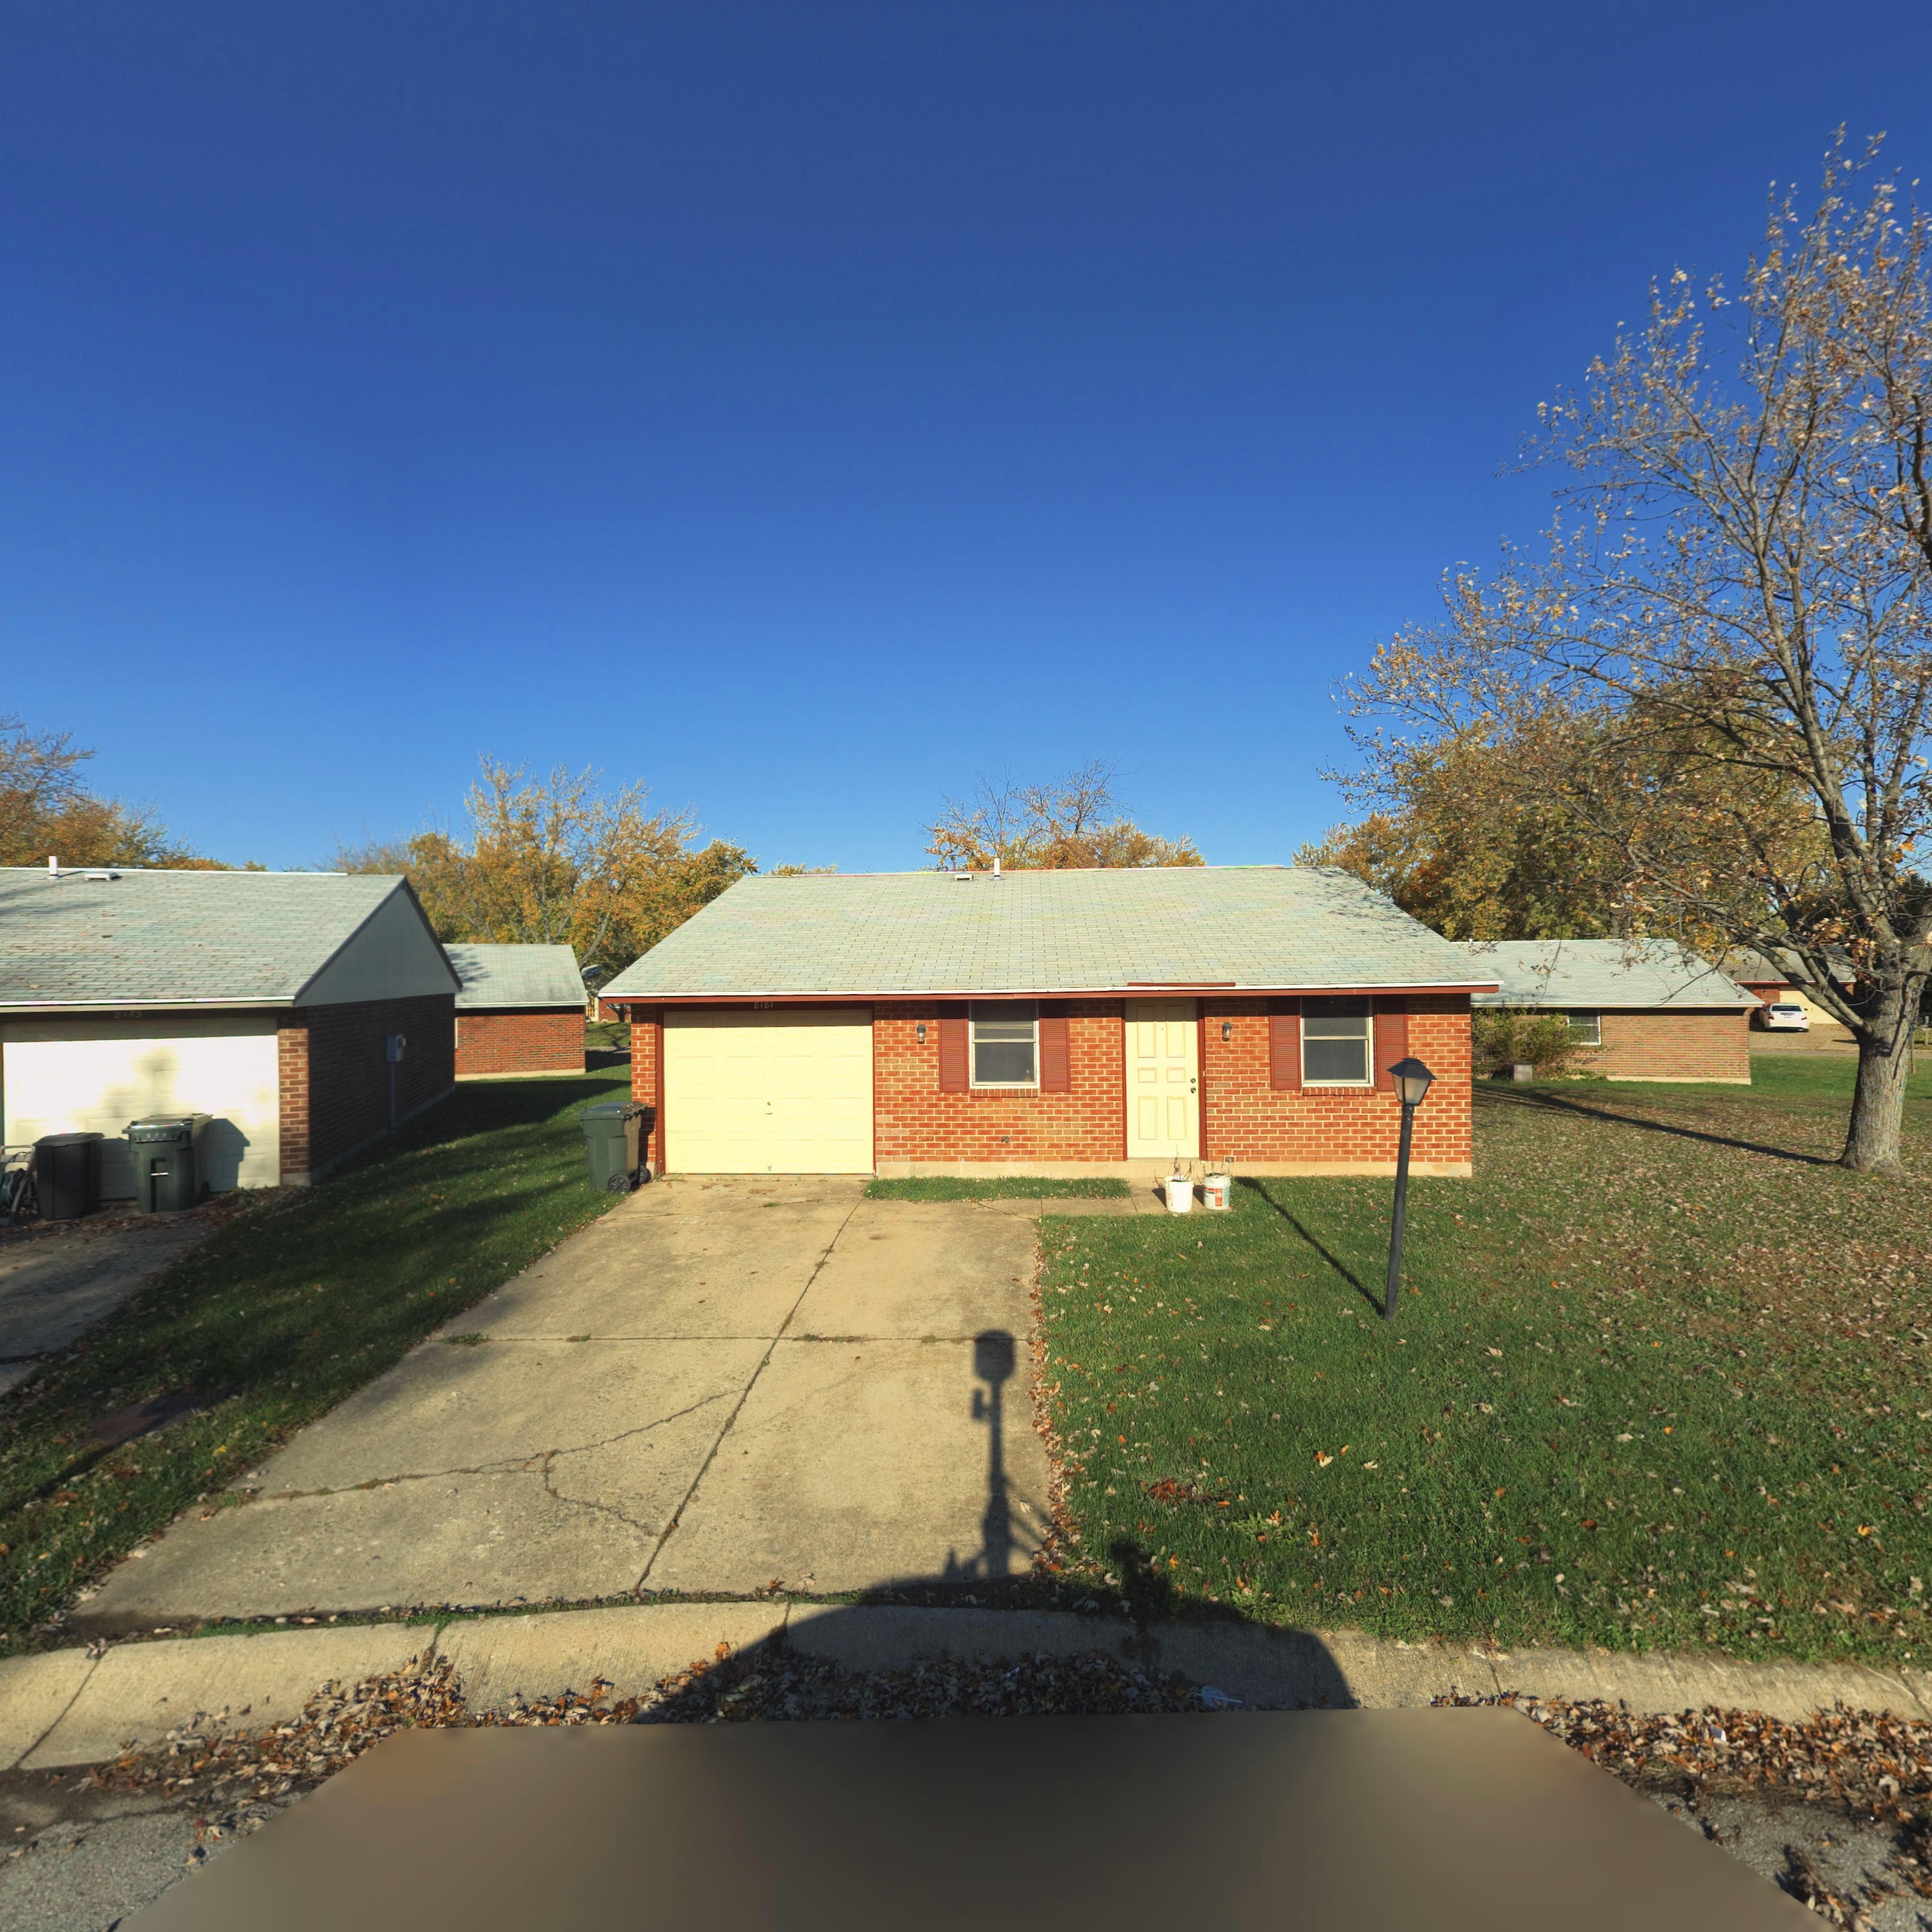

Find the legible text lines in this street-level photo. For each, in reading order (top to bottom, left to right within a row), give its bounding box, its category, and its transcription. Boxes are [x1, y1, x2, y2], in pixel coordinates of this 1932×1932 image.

[753, 1001, 773, 1009] StreetNumber: 8181
[114, 1010, 142, 1019] StreetNumber: 8173